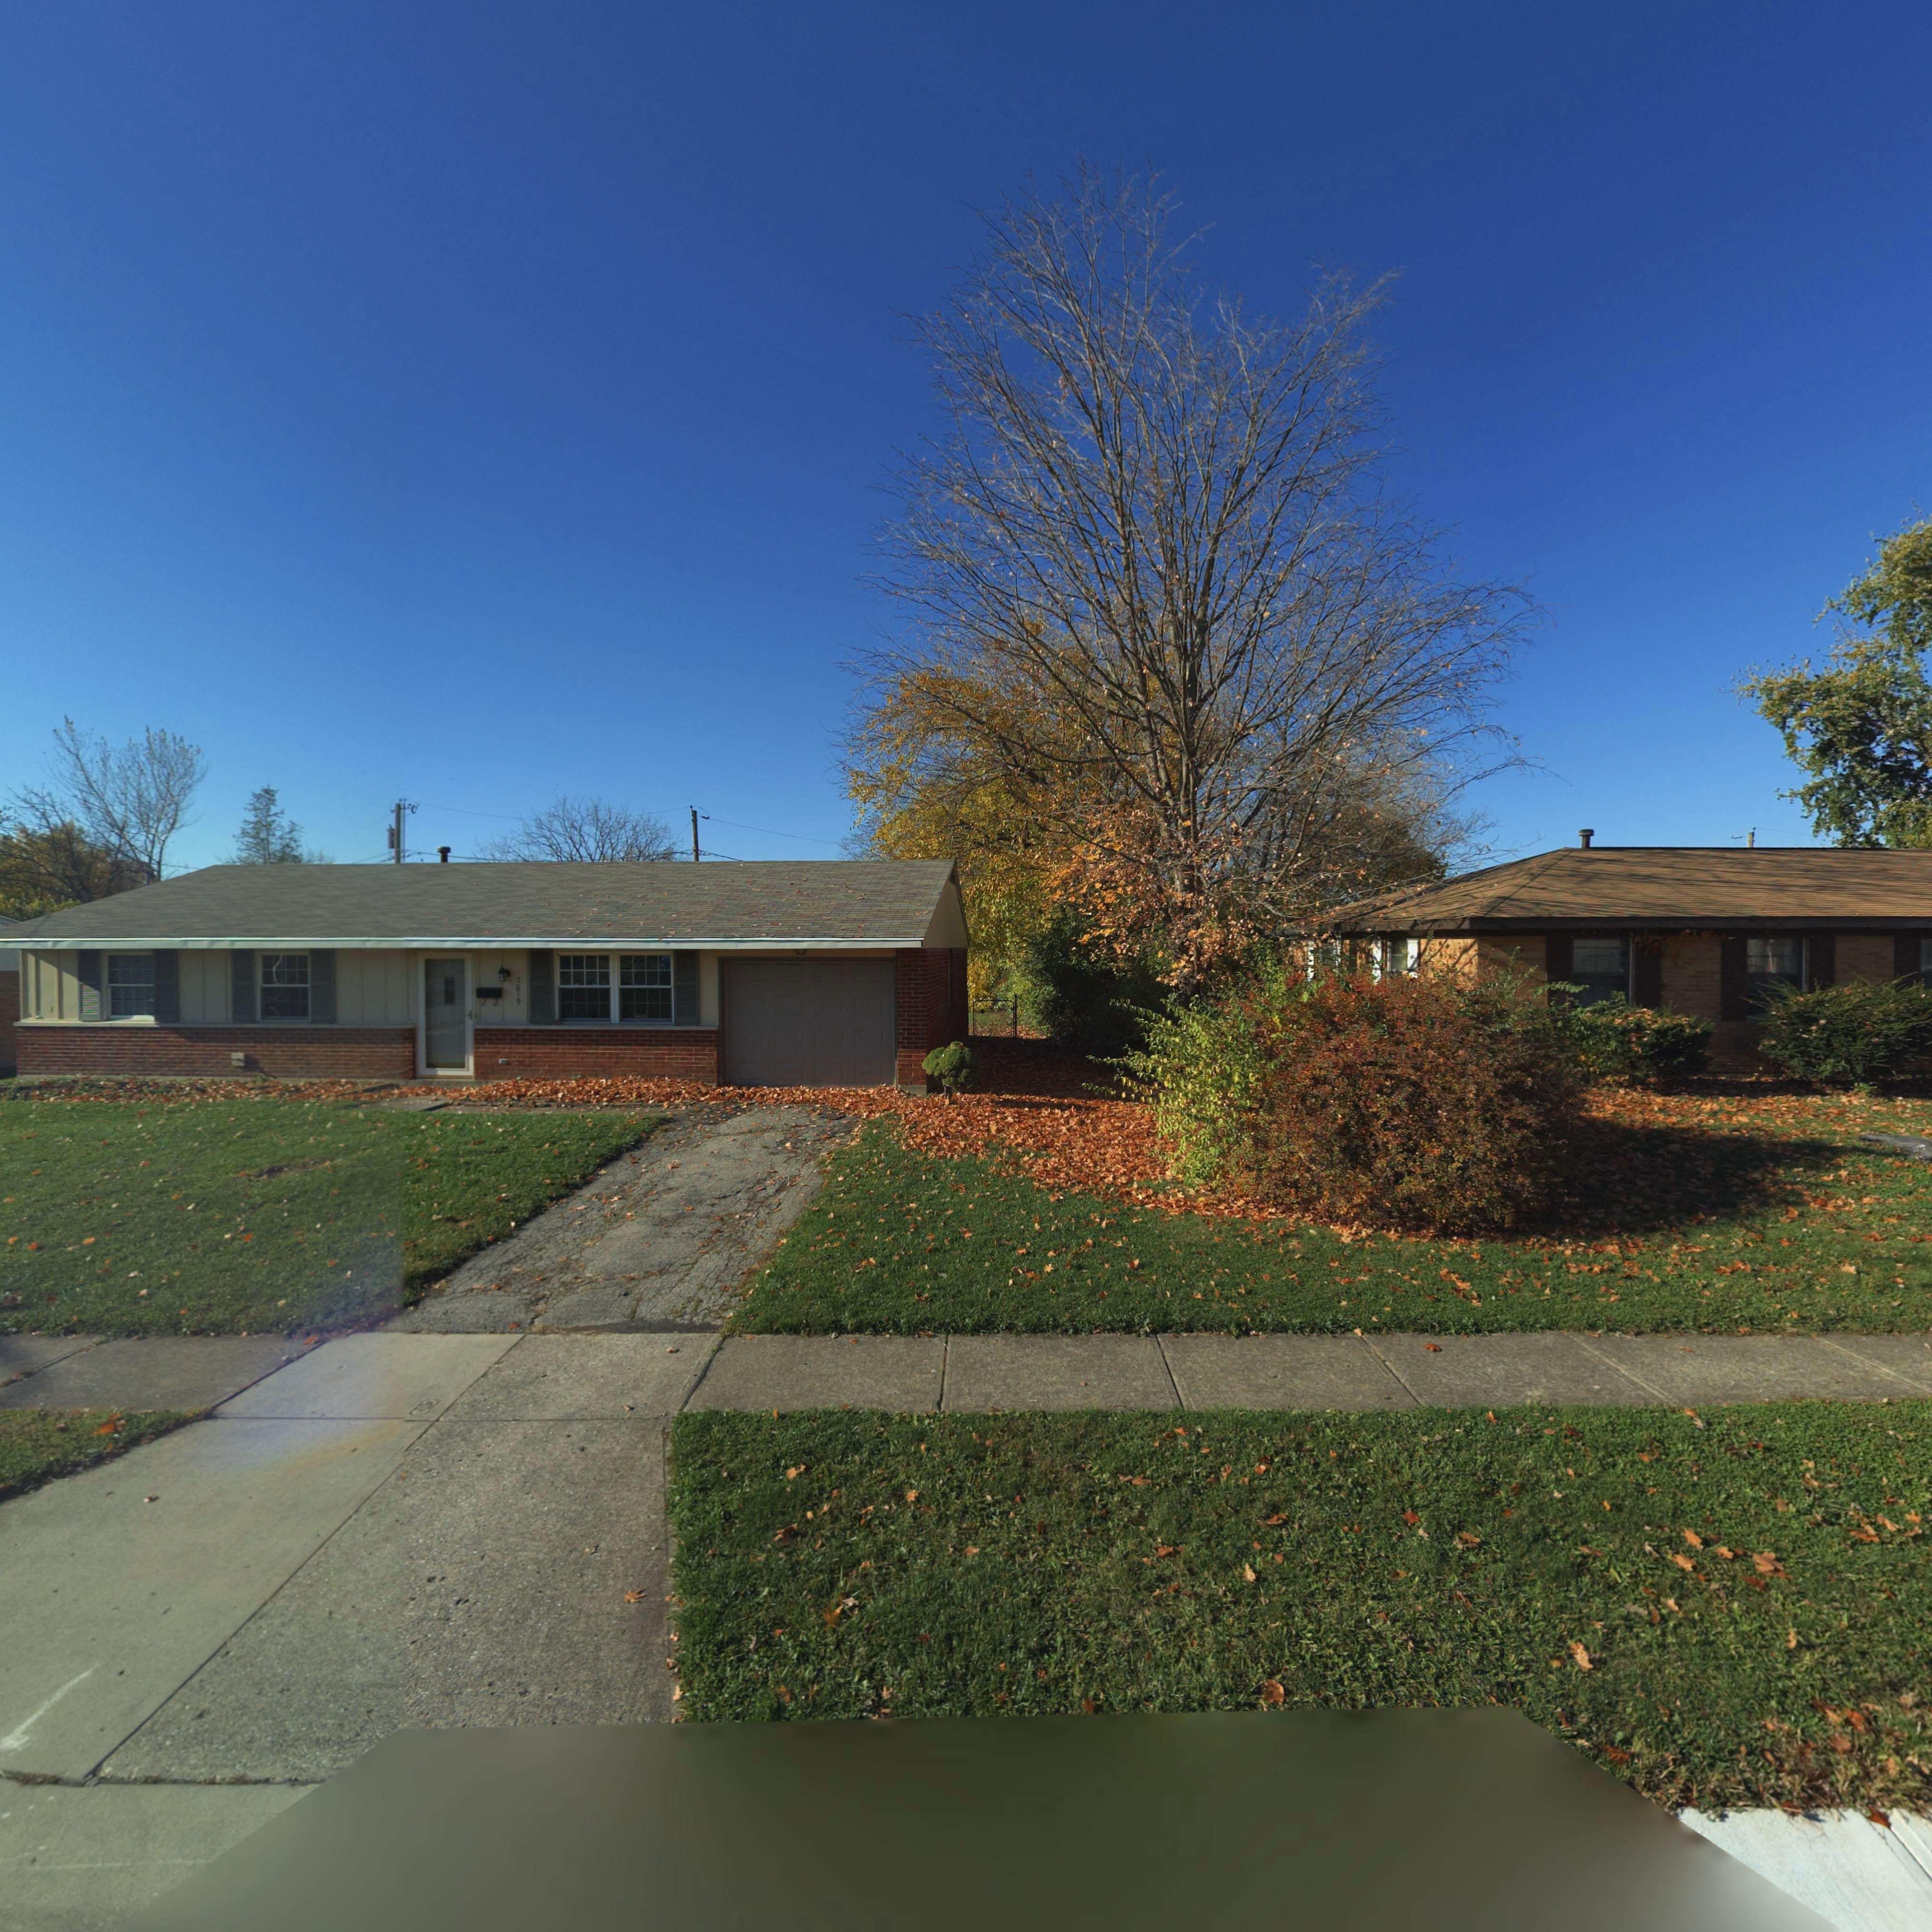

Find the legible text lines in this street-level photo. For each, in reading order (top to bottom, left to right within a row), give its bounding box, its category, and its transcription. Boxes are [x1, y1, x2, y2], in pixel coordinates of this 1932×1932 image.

[514, 975, 522, 1007] StreetNumber: 7619